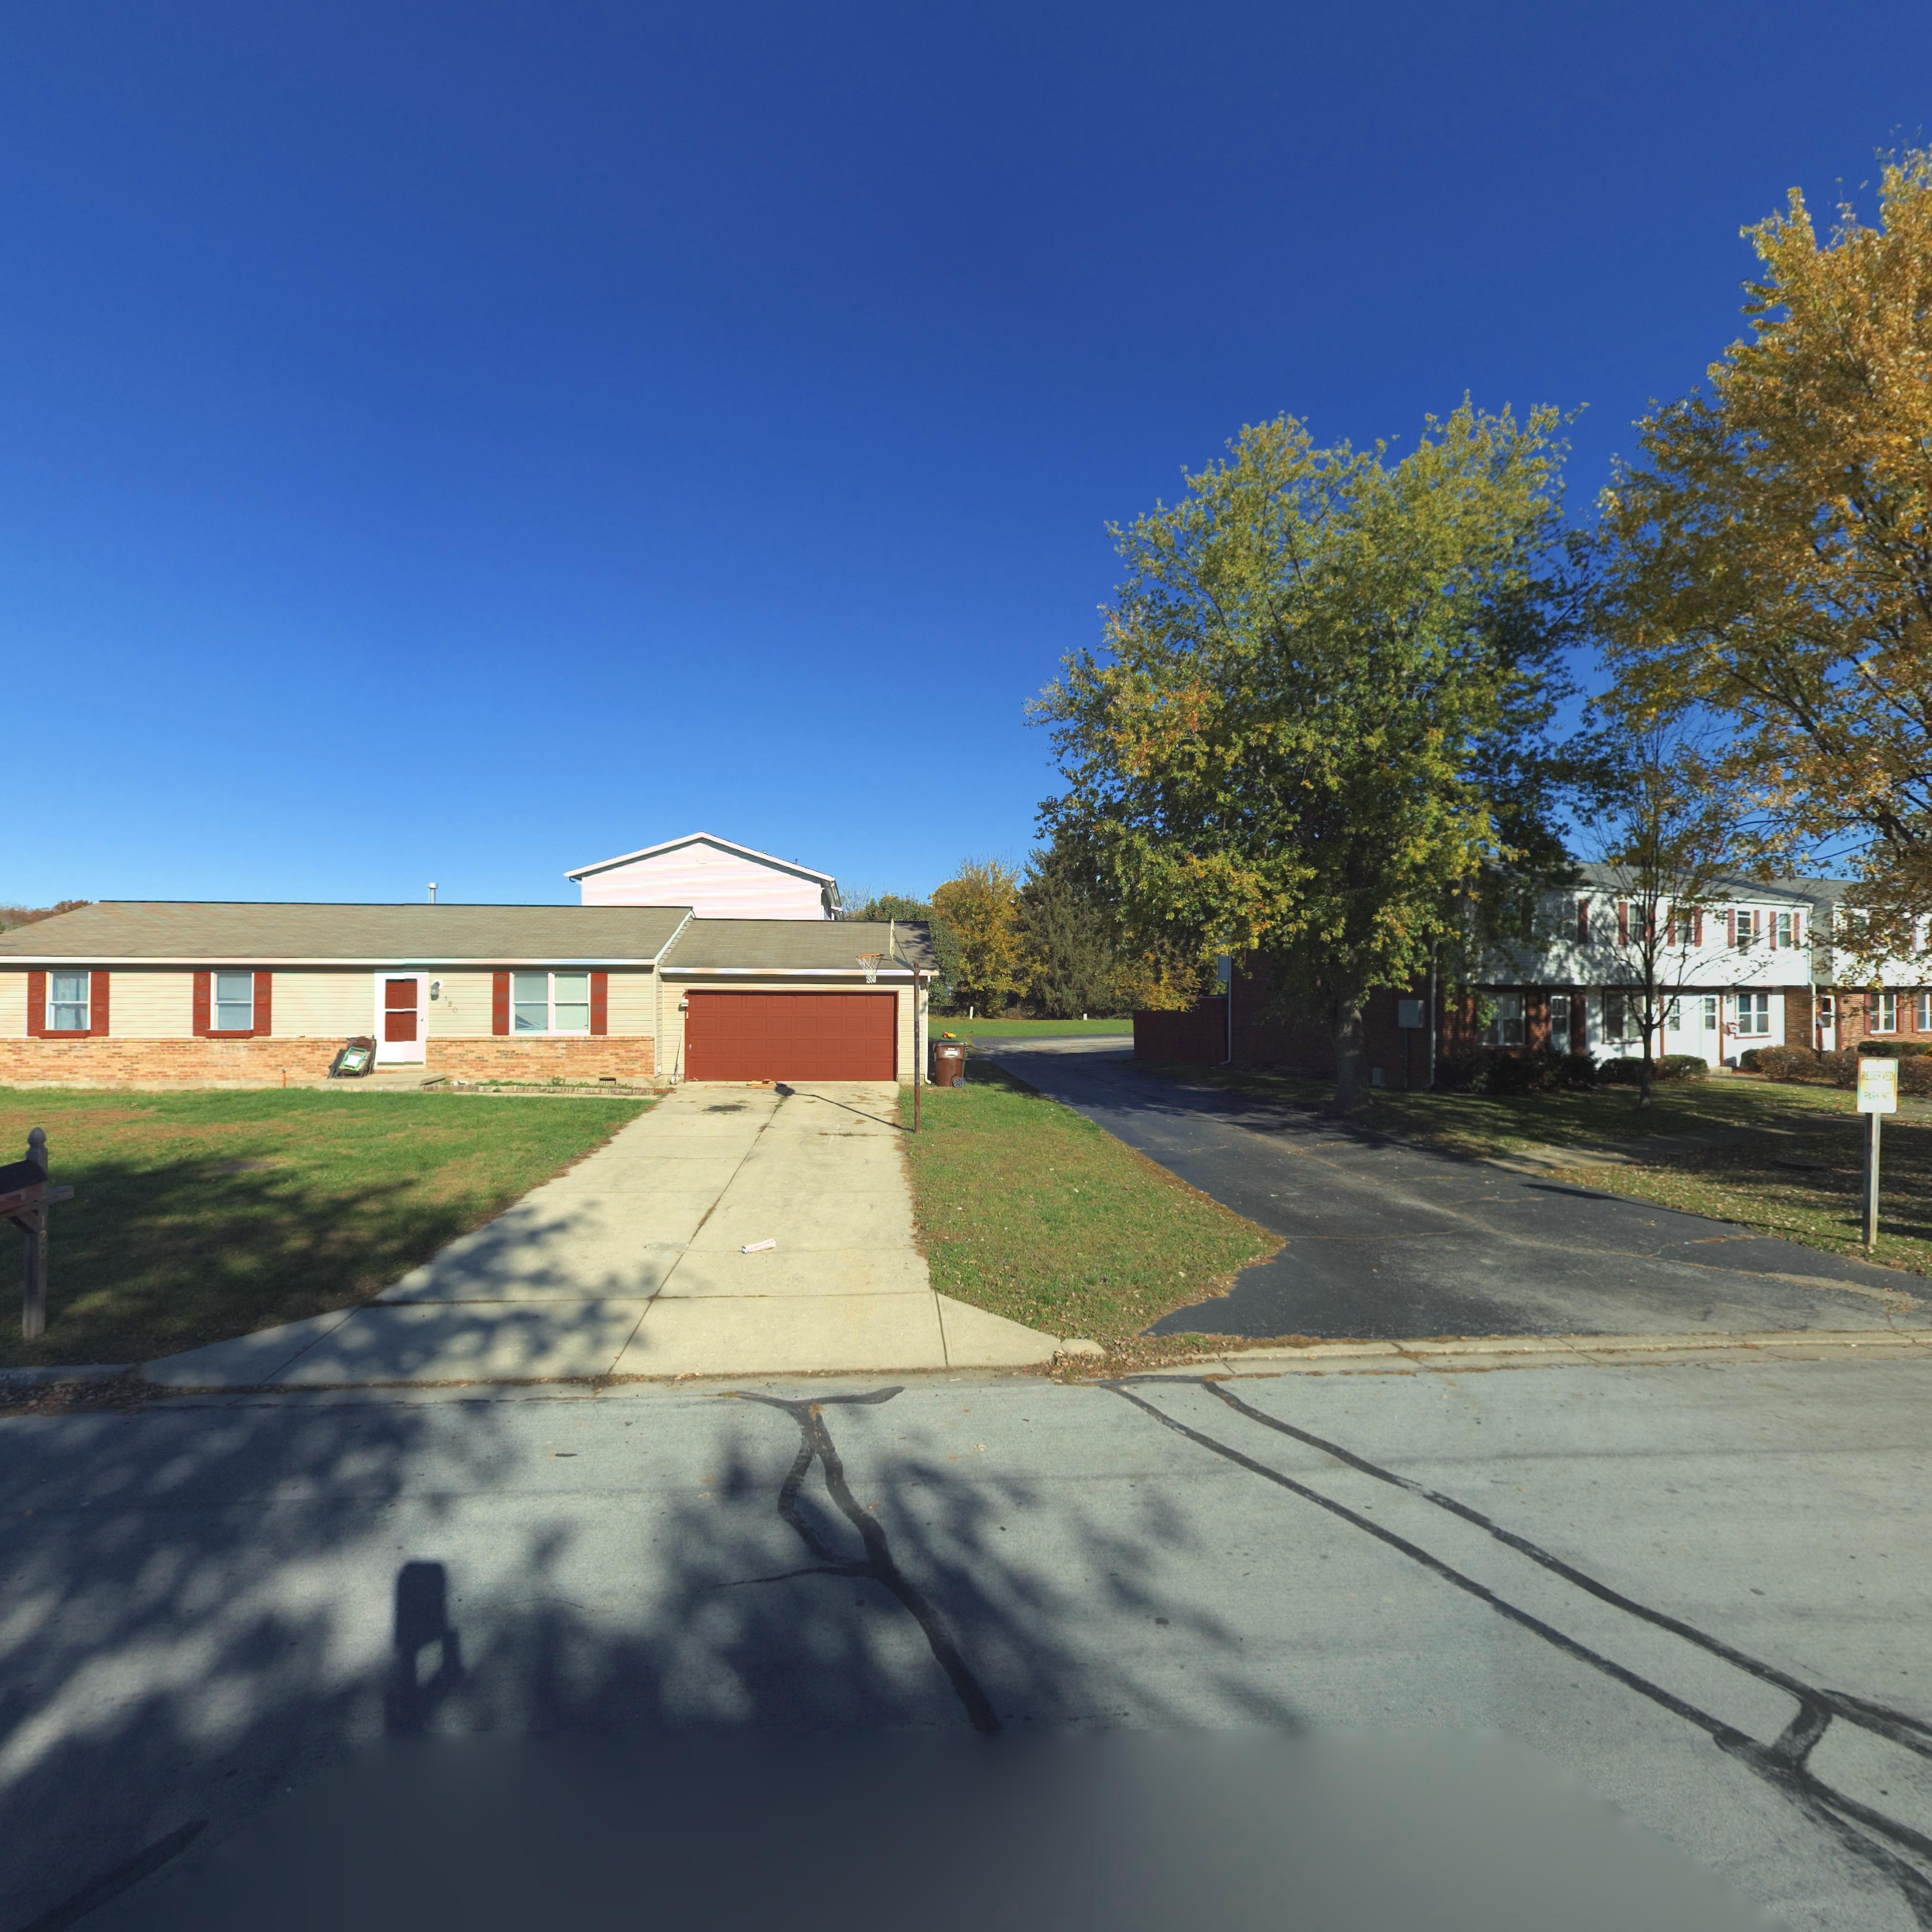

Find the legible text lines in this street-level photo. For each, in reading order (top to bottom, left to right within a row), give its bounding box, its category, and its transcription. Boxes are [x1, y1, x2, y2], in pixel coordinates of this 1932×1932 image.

[444, 994, 459, 1014] StreetNumber: 120
[38, 1214, 48, 1262] StreetNumber: 120